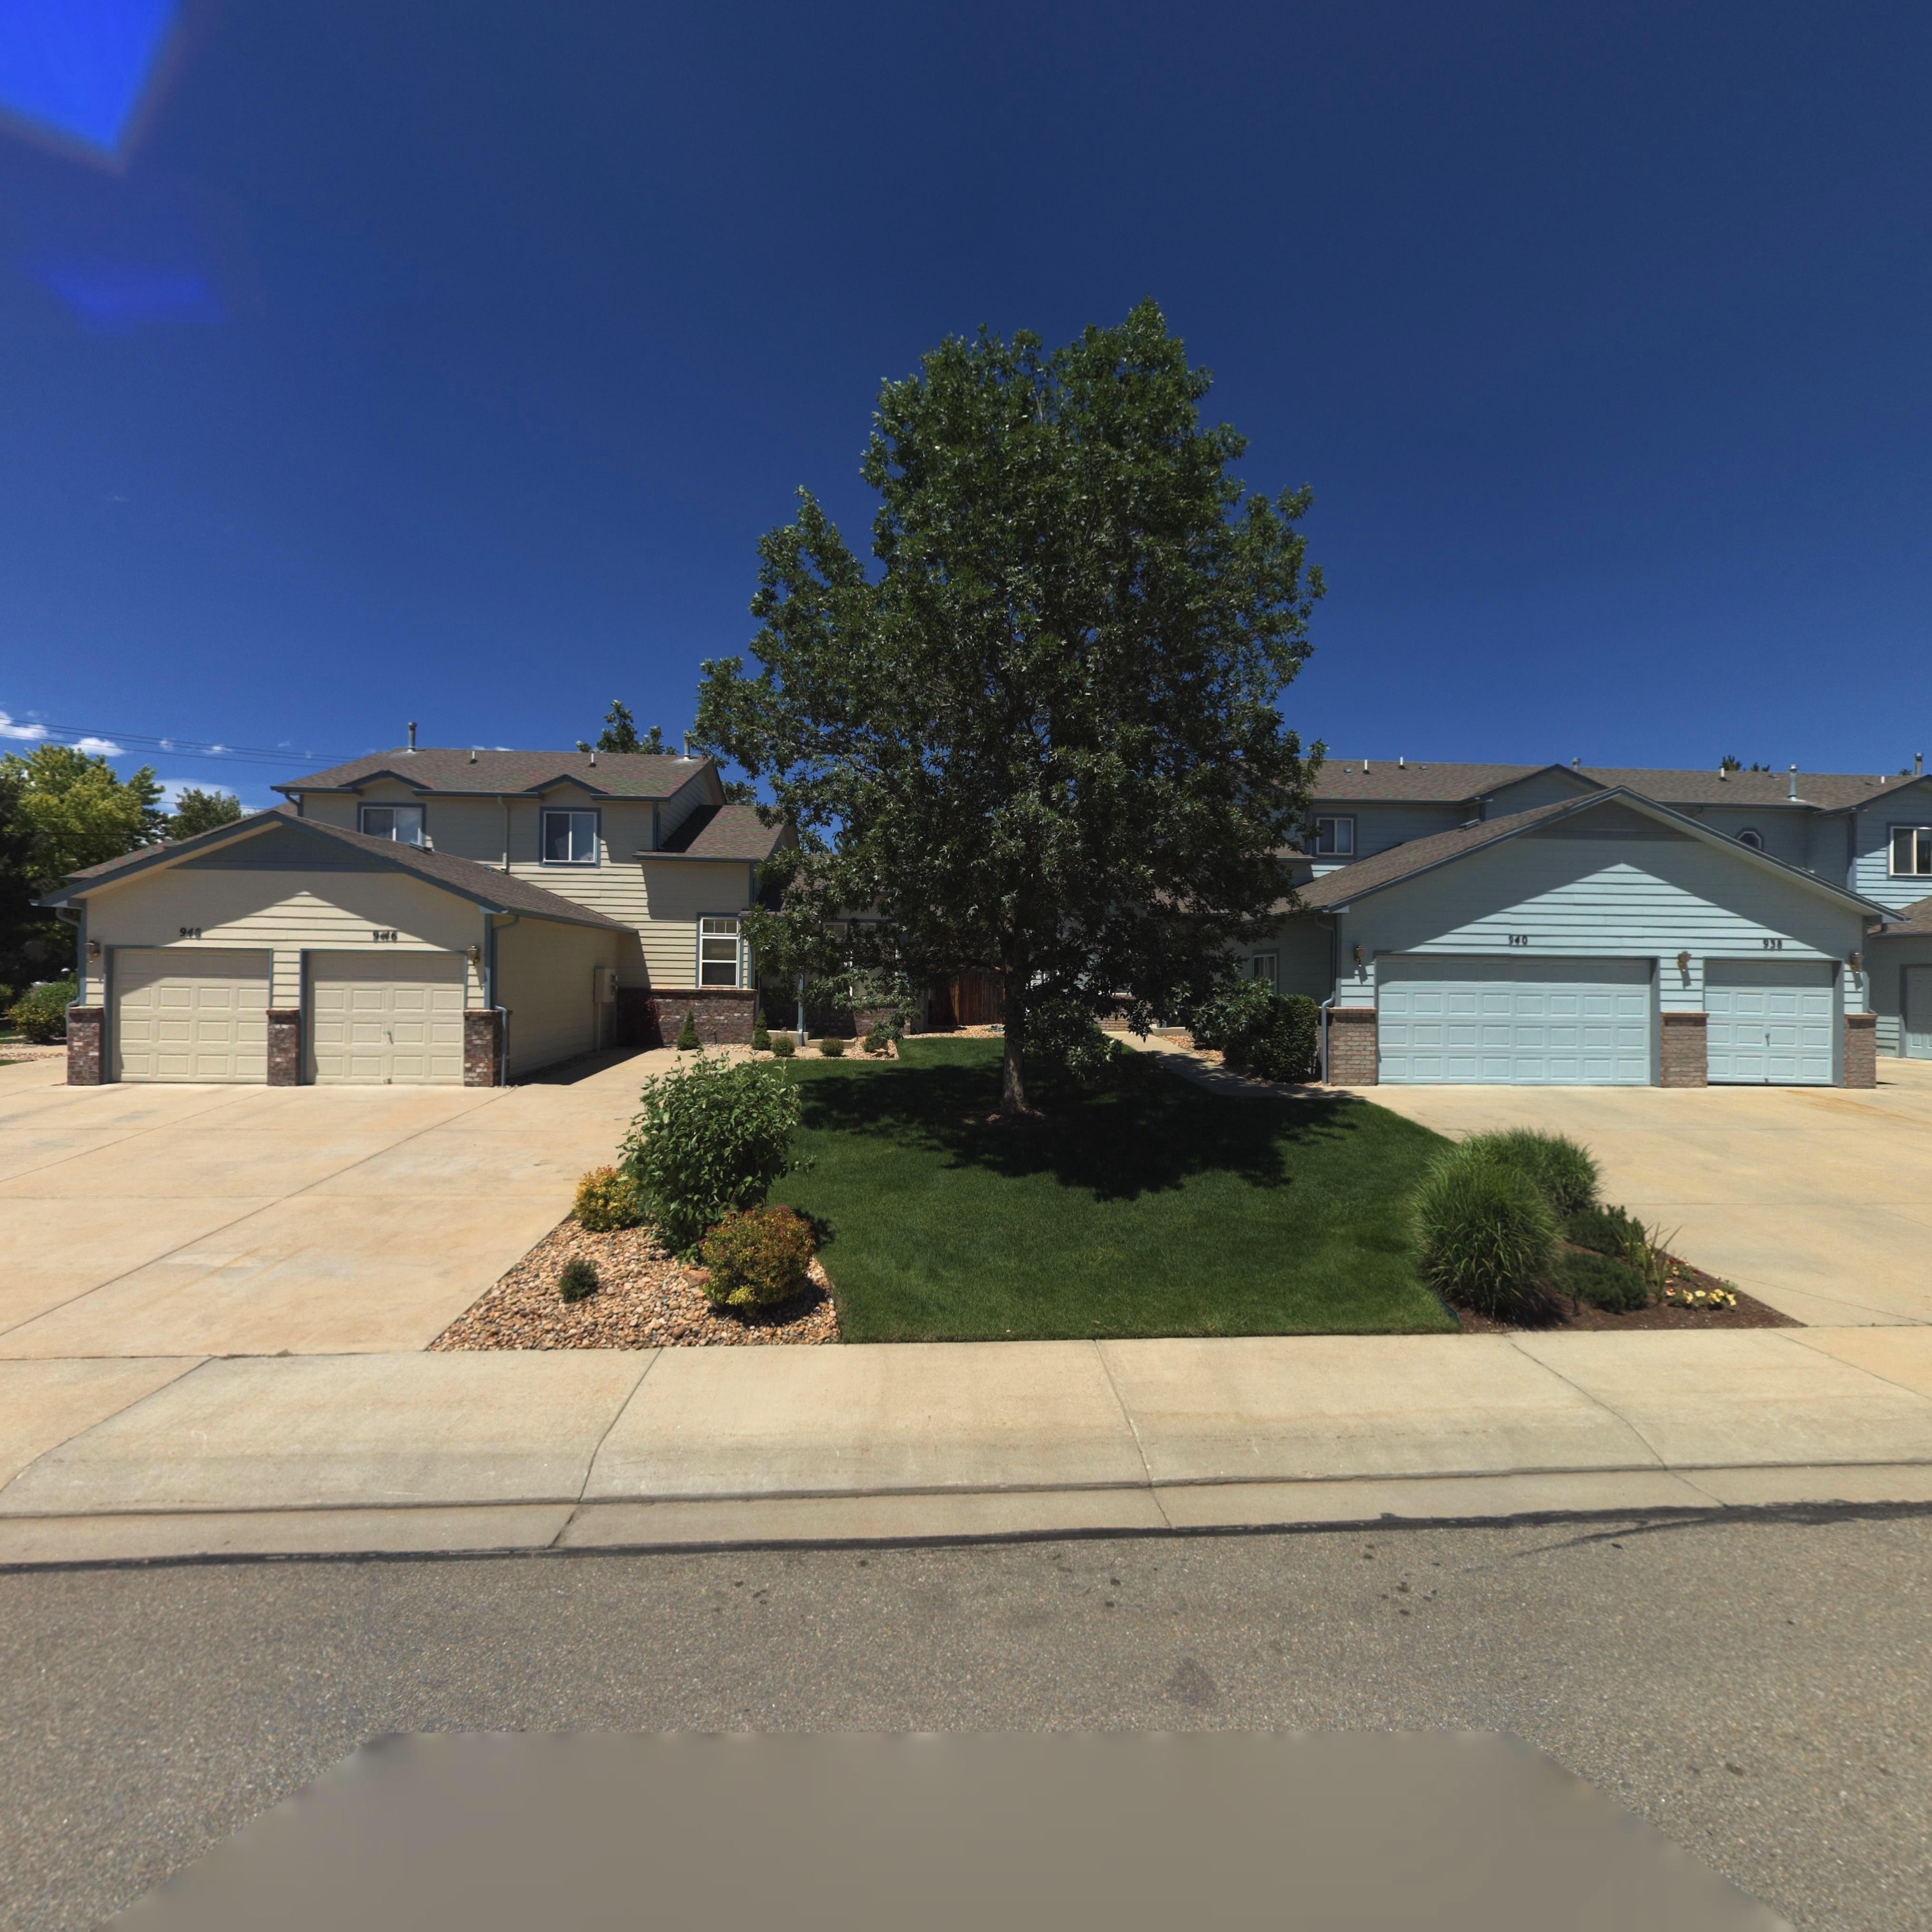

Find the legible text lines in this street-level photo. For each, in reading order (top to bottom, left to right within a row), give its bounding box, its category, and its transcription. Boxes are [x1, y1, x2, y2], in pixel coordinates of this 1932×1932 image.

[179, 927, 202, 937] StreetNumber: 948
[372, 930, 398, 940] StreetNumber: 9*46
[1508, 935, 1527, 945] StreetNumber: 940
[1762, 939, 1782, 949] StreetNumber: 938